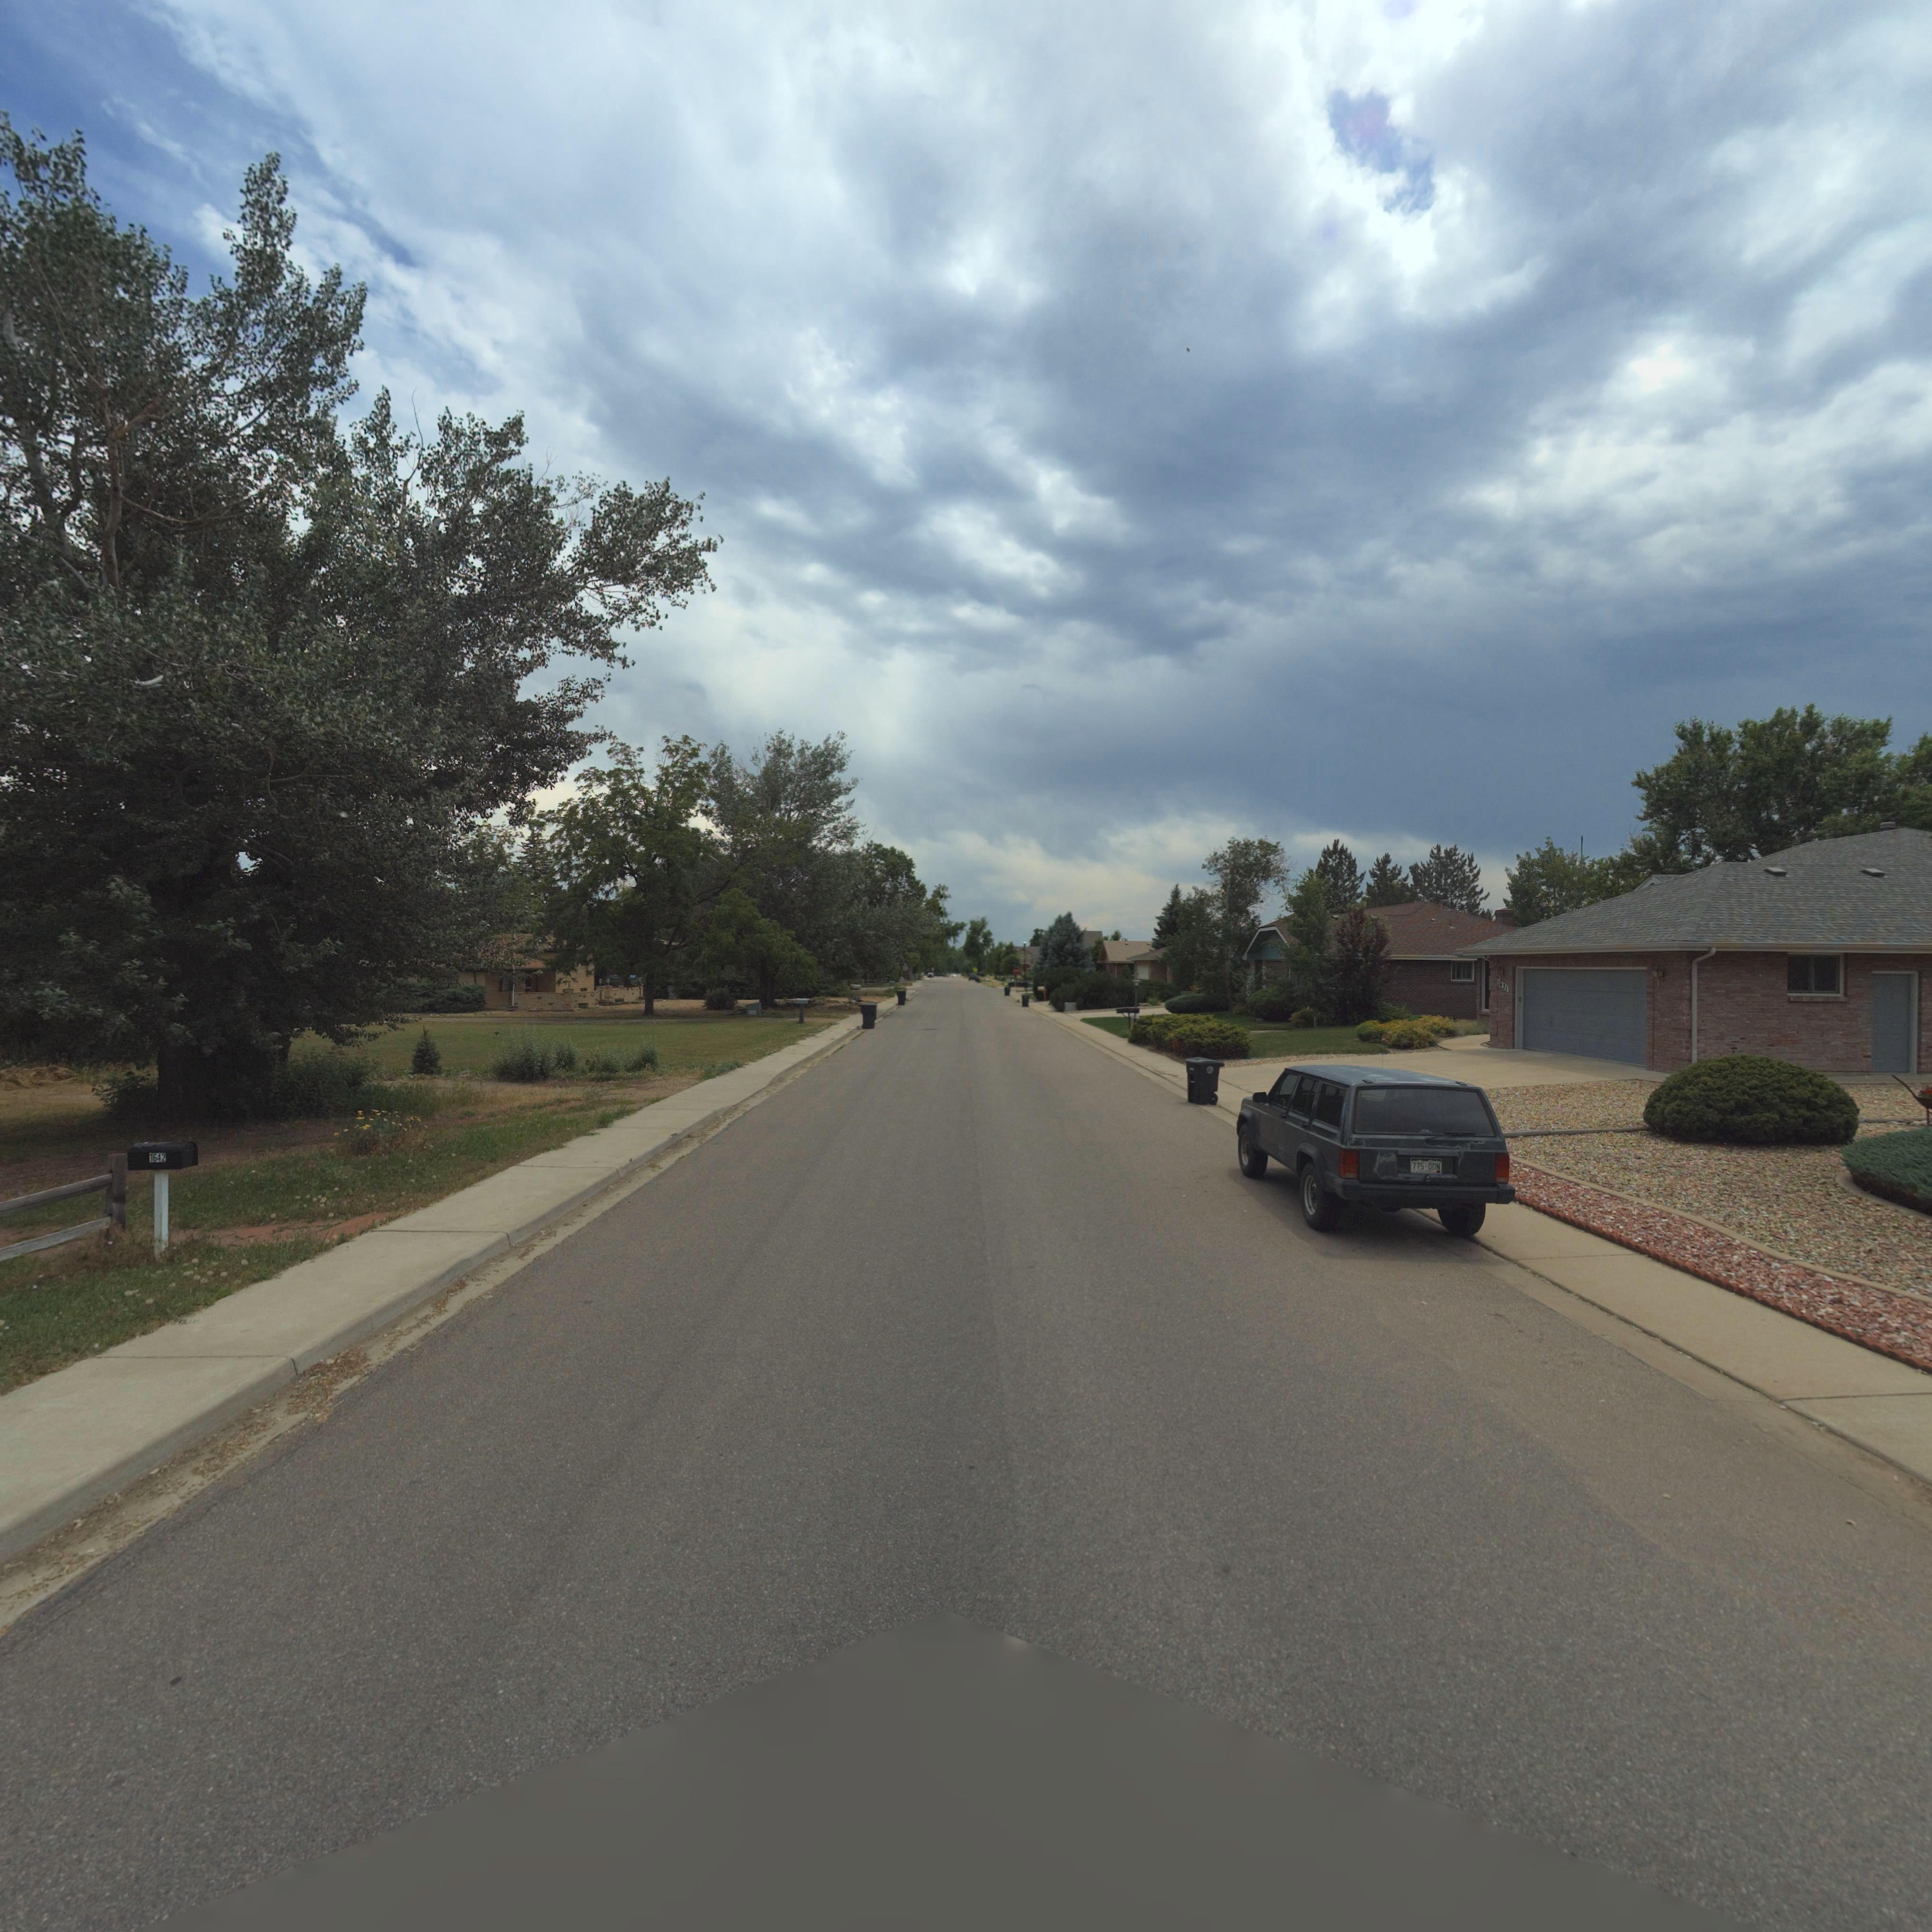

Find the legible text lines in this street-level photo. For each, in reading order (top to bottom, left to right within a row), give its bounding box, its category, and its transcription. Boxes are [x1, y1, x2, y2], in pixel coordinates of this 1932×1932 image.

[1497, 979, 1507, 991] StreetNumber: 1631
[149, 1152, 165, 1162] StreetNumber: 1642